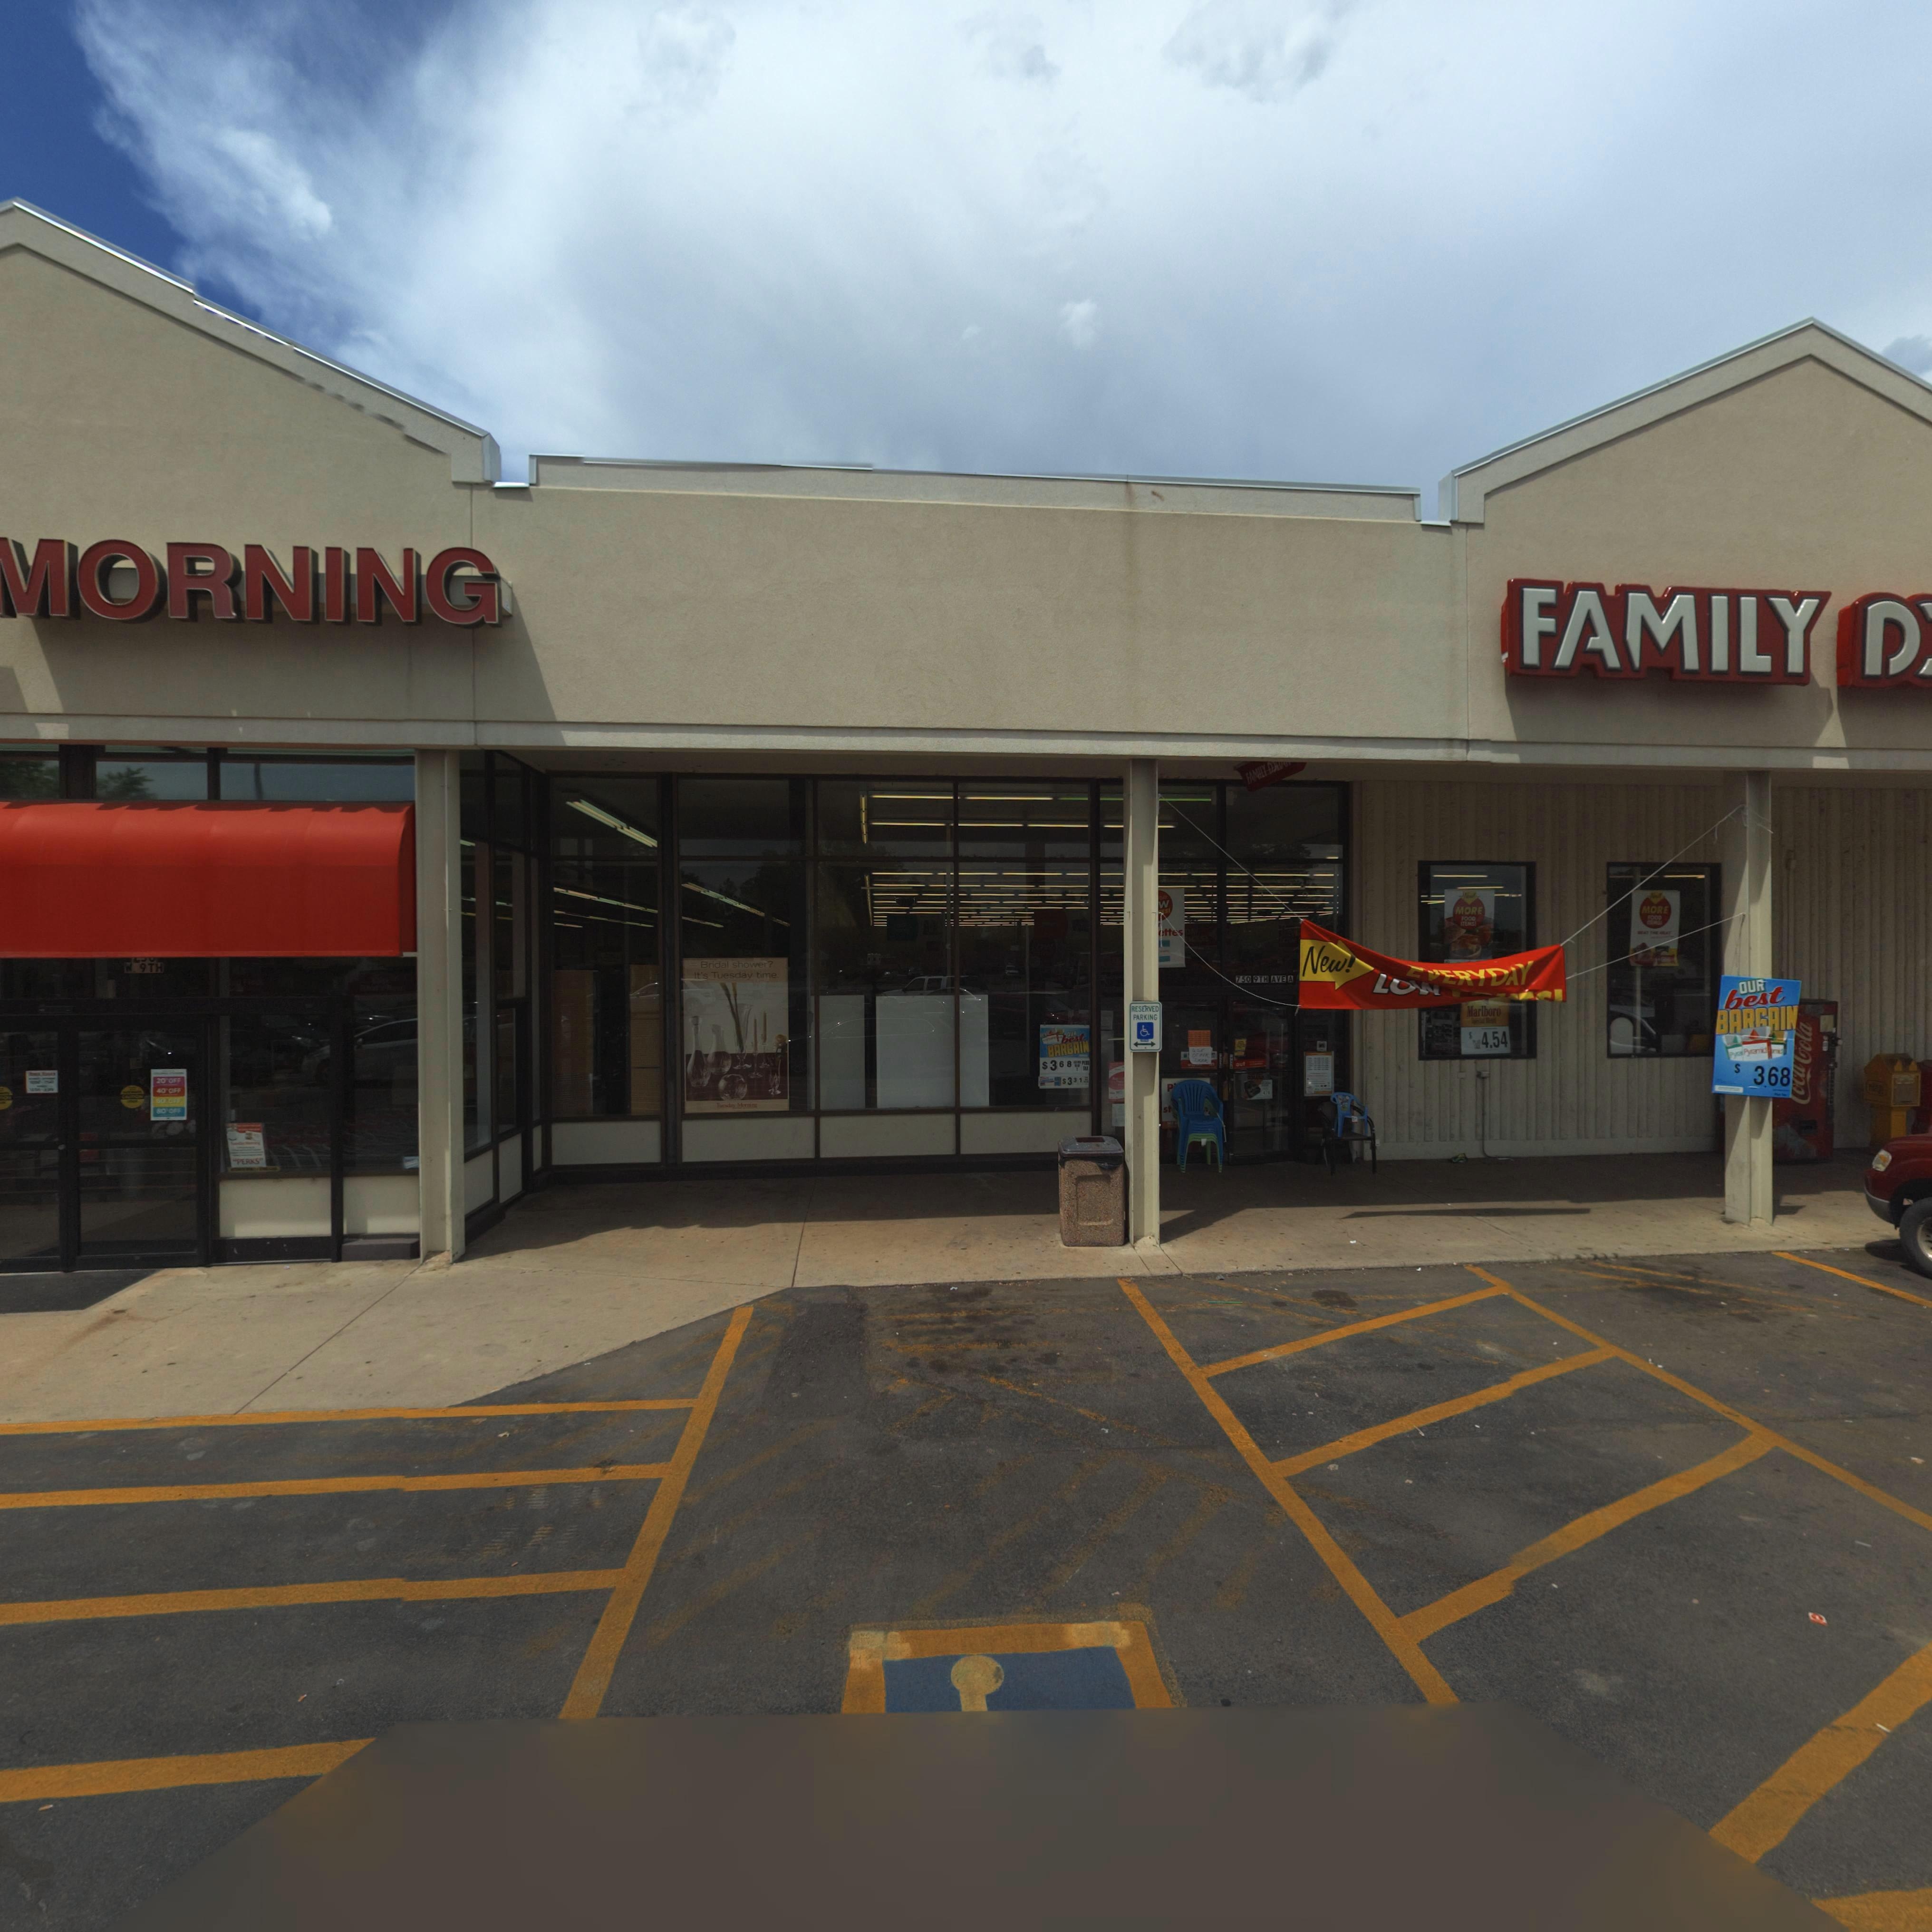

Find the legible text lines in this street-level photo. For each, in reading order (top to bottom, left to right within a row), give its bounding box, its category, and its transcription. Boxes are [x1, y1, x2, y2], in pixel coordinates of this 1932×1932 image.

[3, 537, 499, 626] BusinessName: *ORNING
[1518, 586, 1923, 683] BusinessName: FAMILY D*
[126, 962, 163, 972] StreetName: W 9TH
[1236, 976, 1251, 982] StreetNumber: 750
[1253, 976, 1285, 983] StreetName: 9TH AVE
[716, 1102, 757, 1108] BusinessName: Tuesday Morning